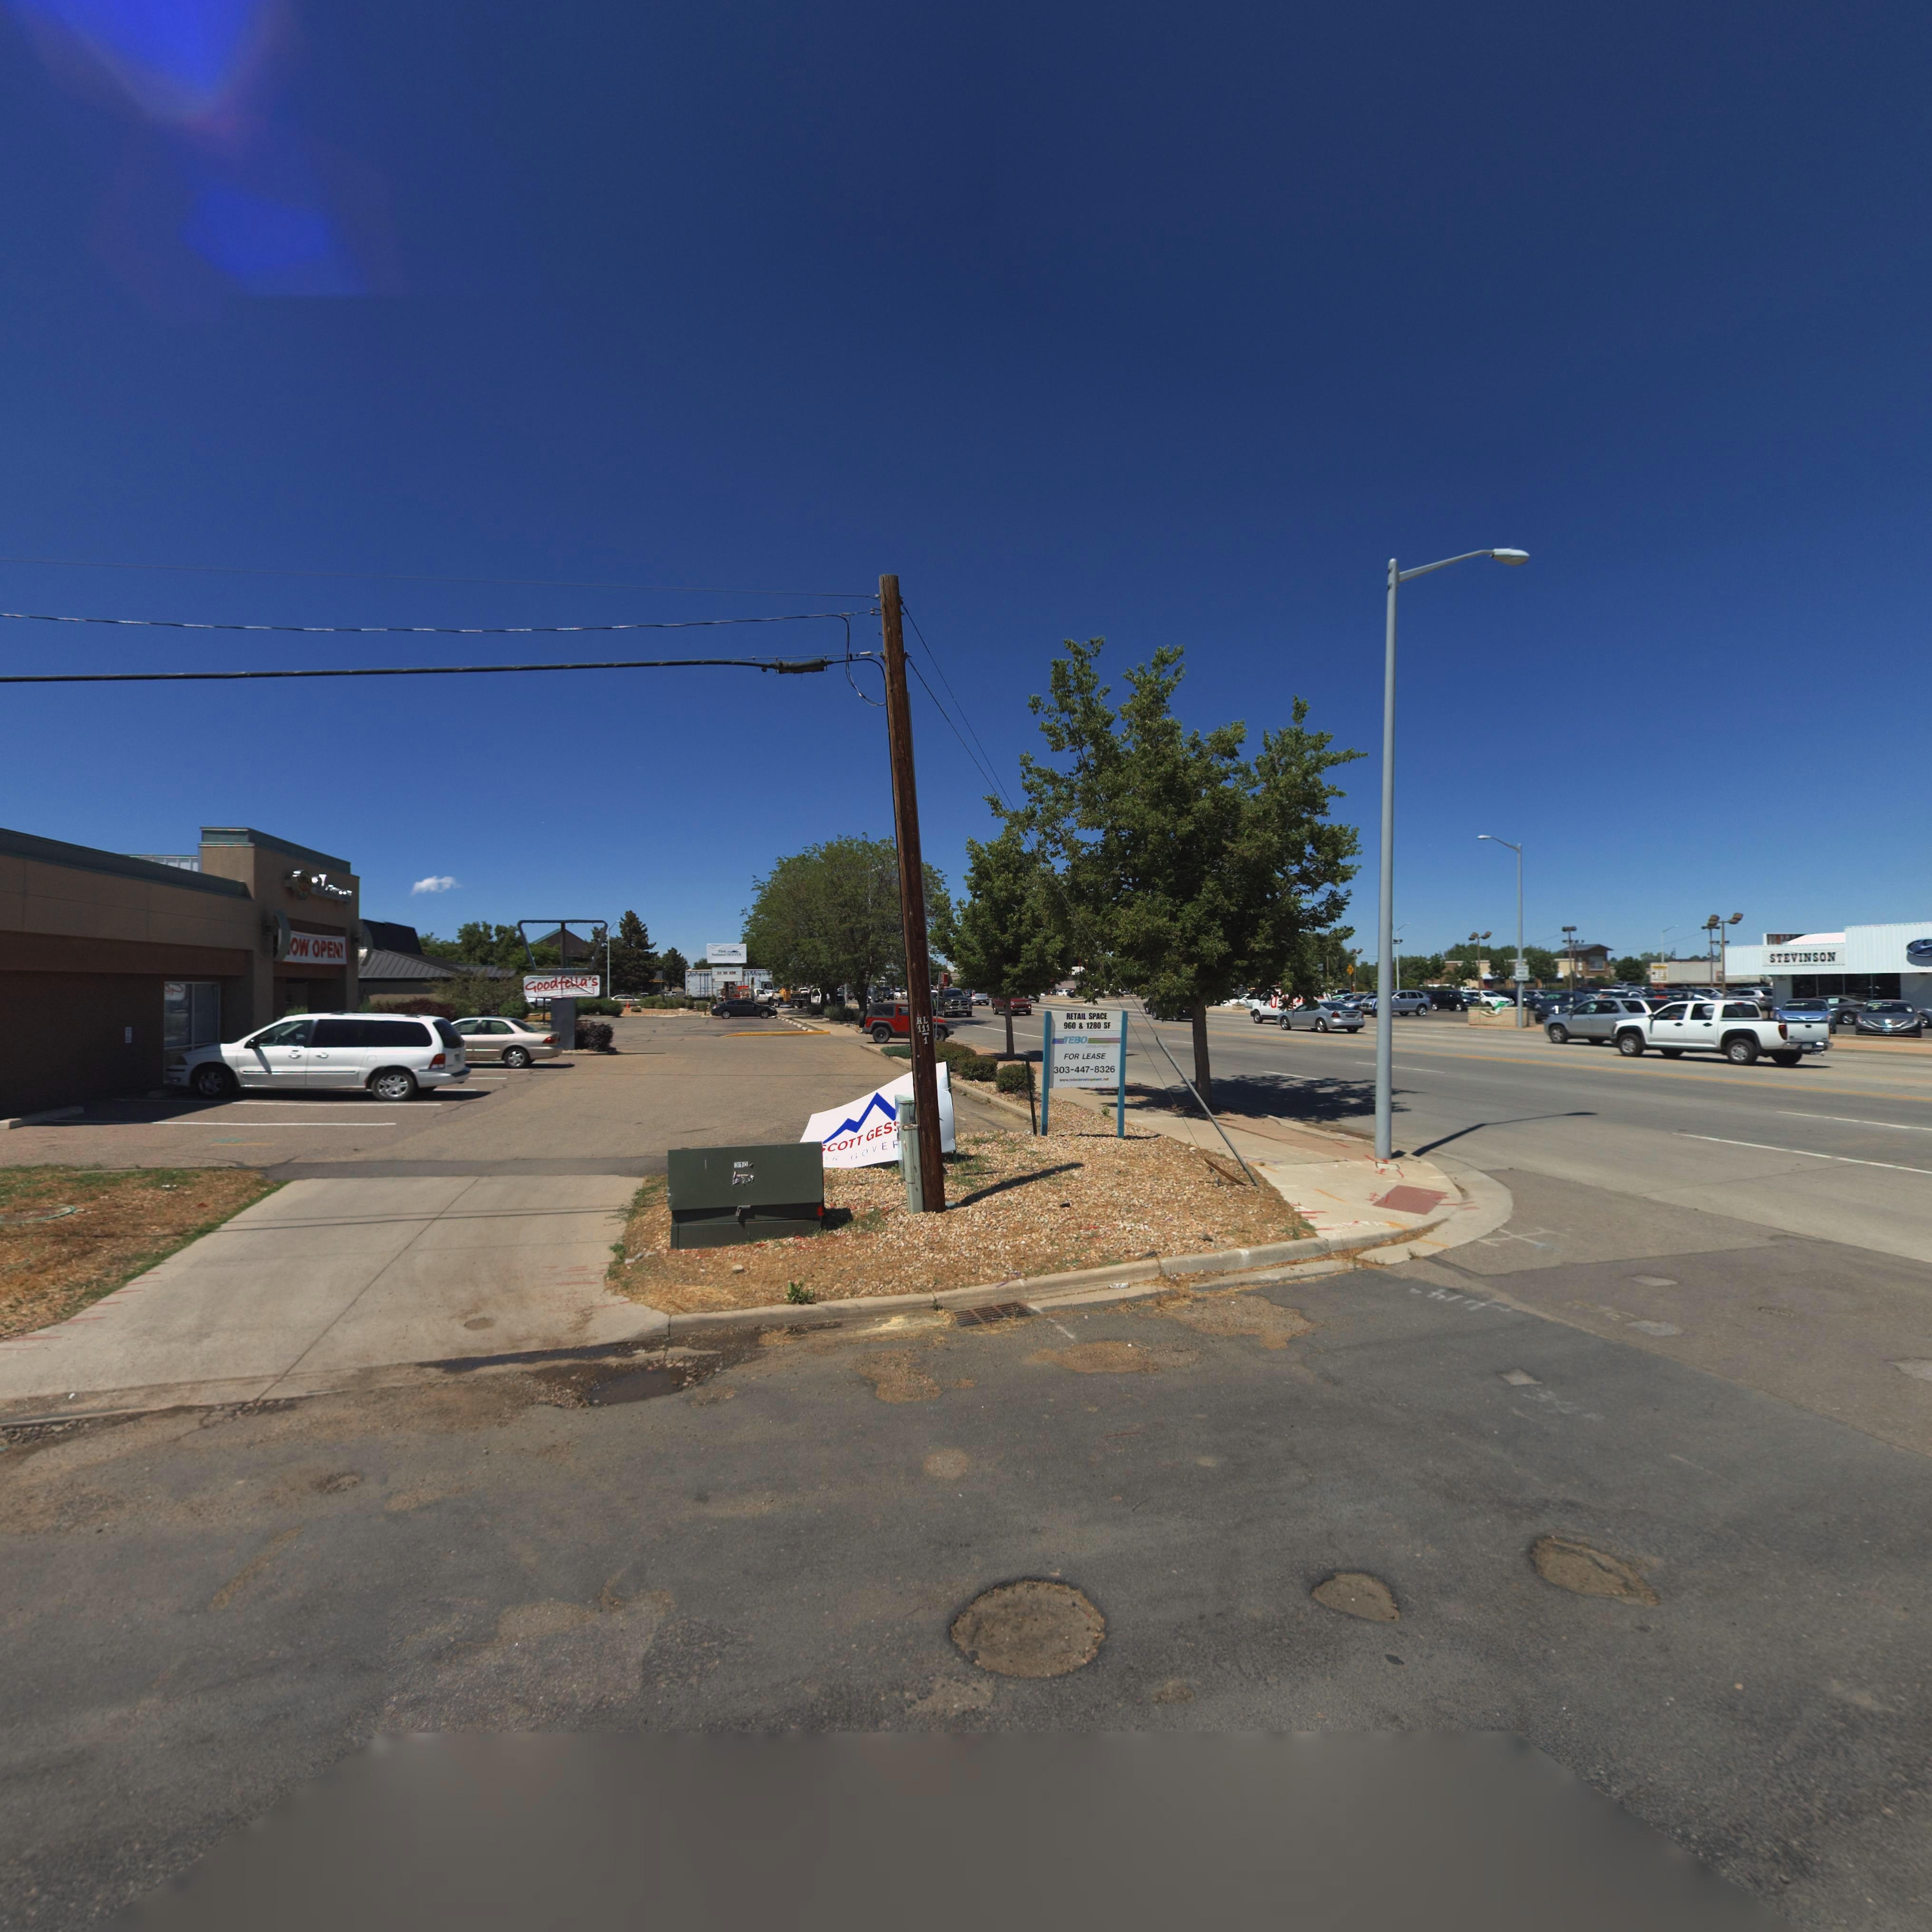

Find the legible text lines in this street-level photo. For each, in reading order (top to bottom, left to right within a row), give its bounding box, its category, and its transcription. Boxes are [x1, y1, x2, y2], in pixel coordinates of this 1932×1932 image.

[711, 952, 742, 956] BusinessName: Na*****l DENVER
[1769, 951, 1836, 963] BusinessName: STEVINSON
[524, 975, 599, 993] BusinessName: Goodfella's
[539, 988, 592, 996] BusinessName: R********** * B*****